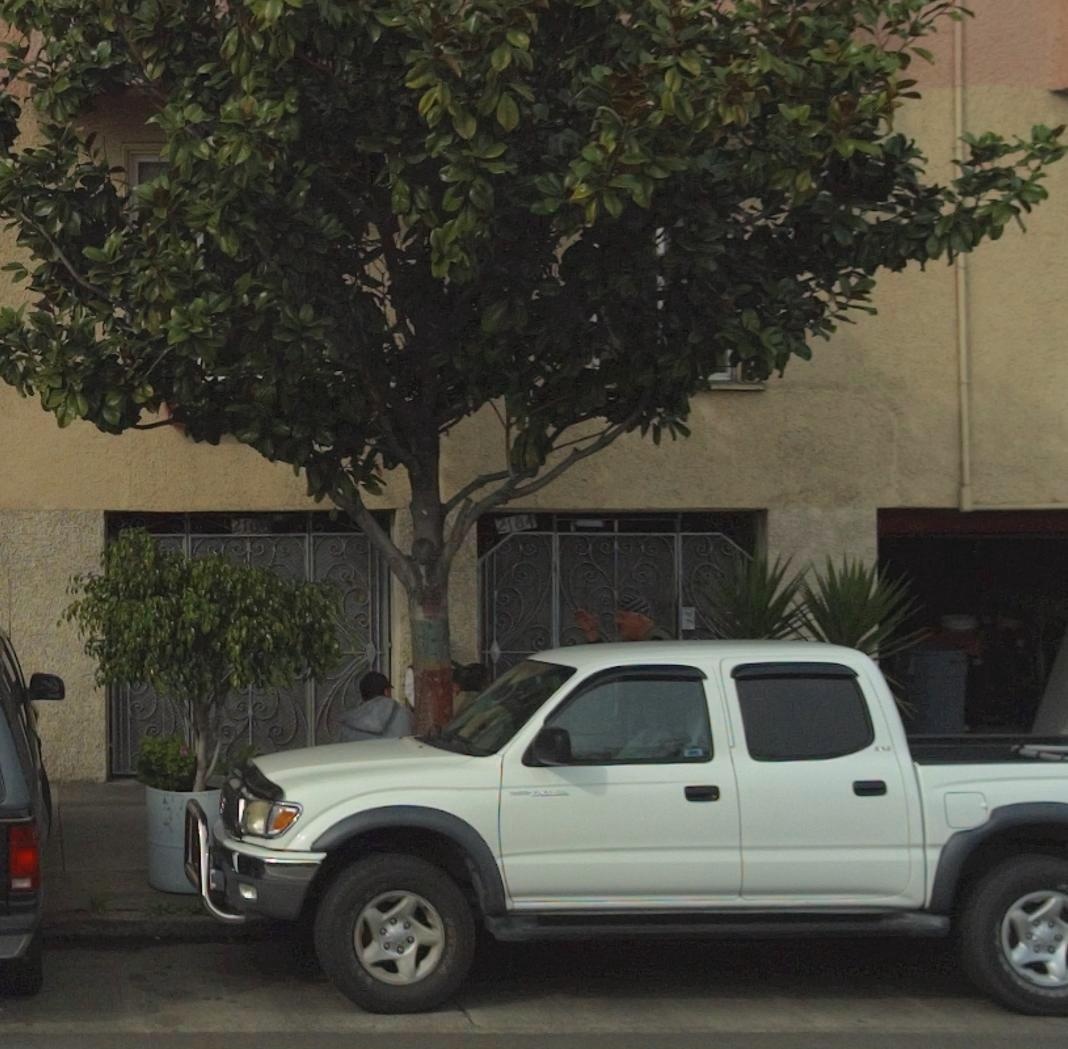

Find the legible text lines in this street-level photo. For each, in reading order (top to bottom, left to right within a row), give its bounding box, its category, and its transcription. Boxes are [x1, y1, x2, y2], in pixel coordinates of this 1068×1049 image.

[232, 517, 260, 533] StreetNumber: 21*
[496, 513, 536, 534] StreetNumber: 2104